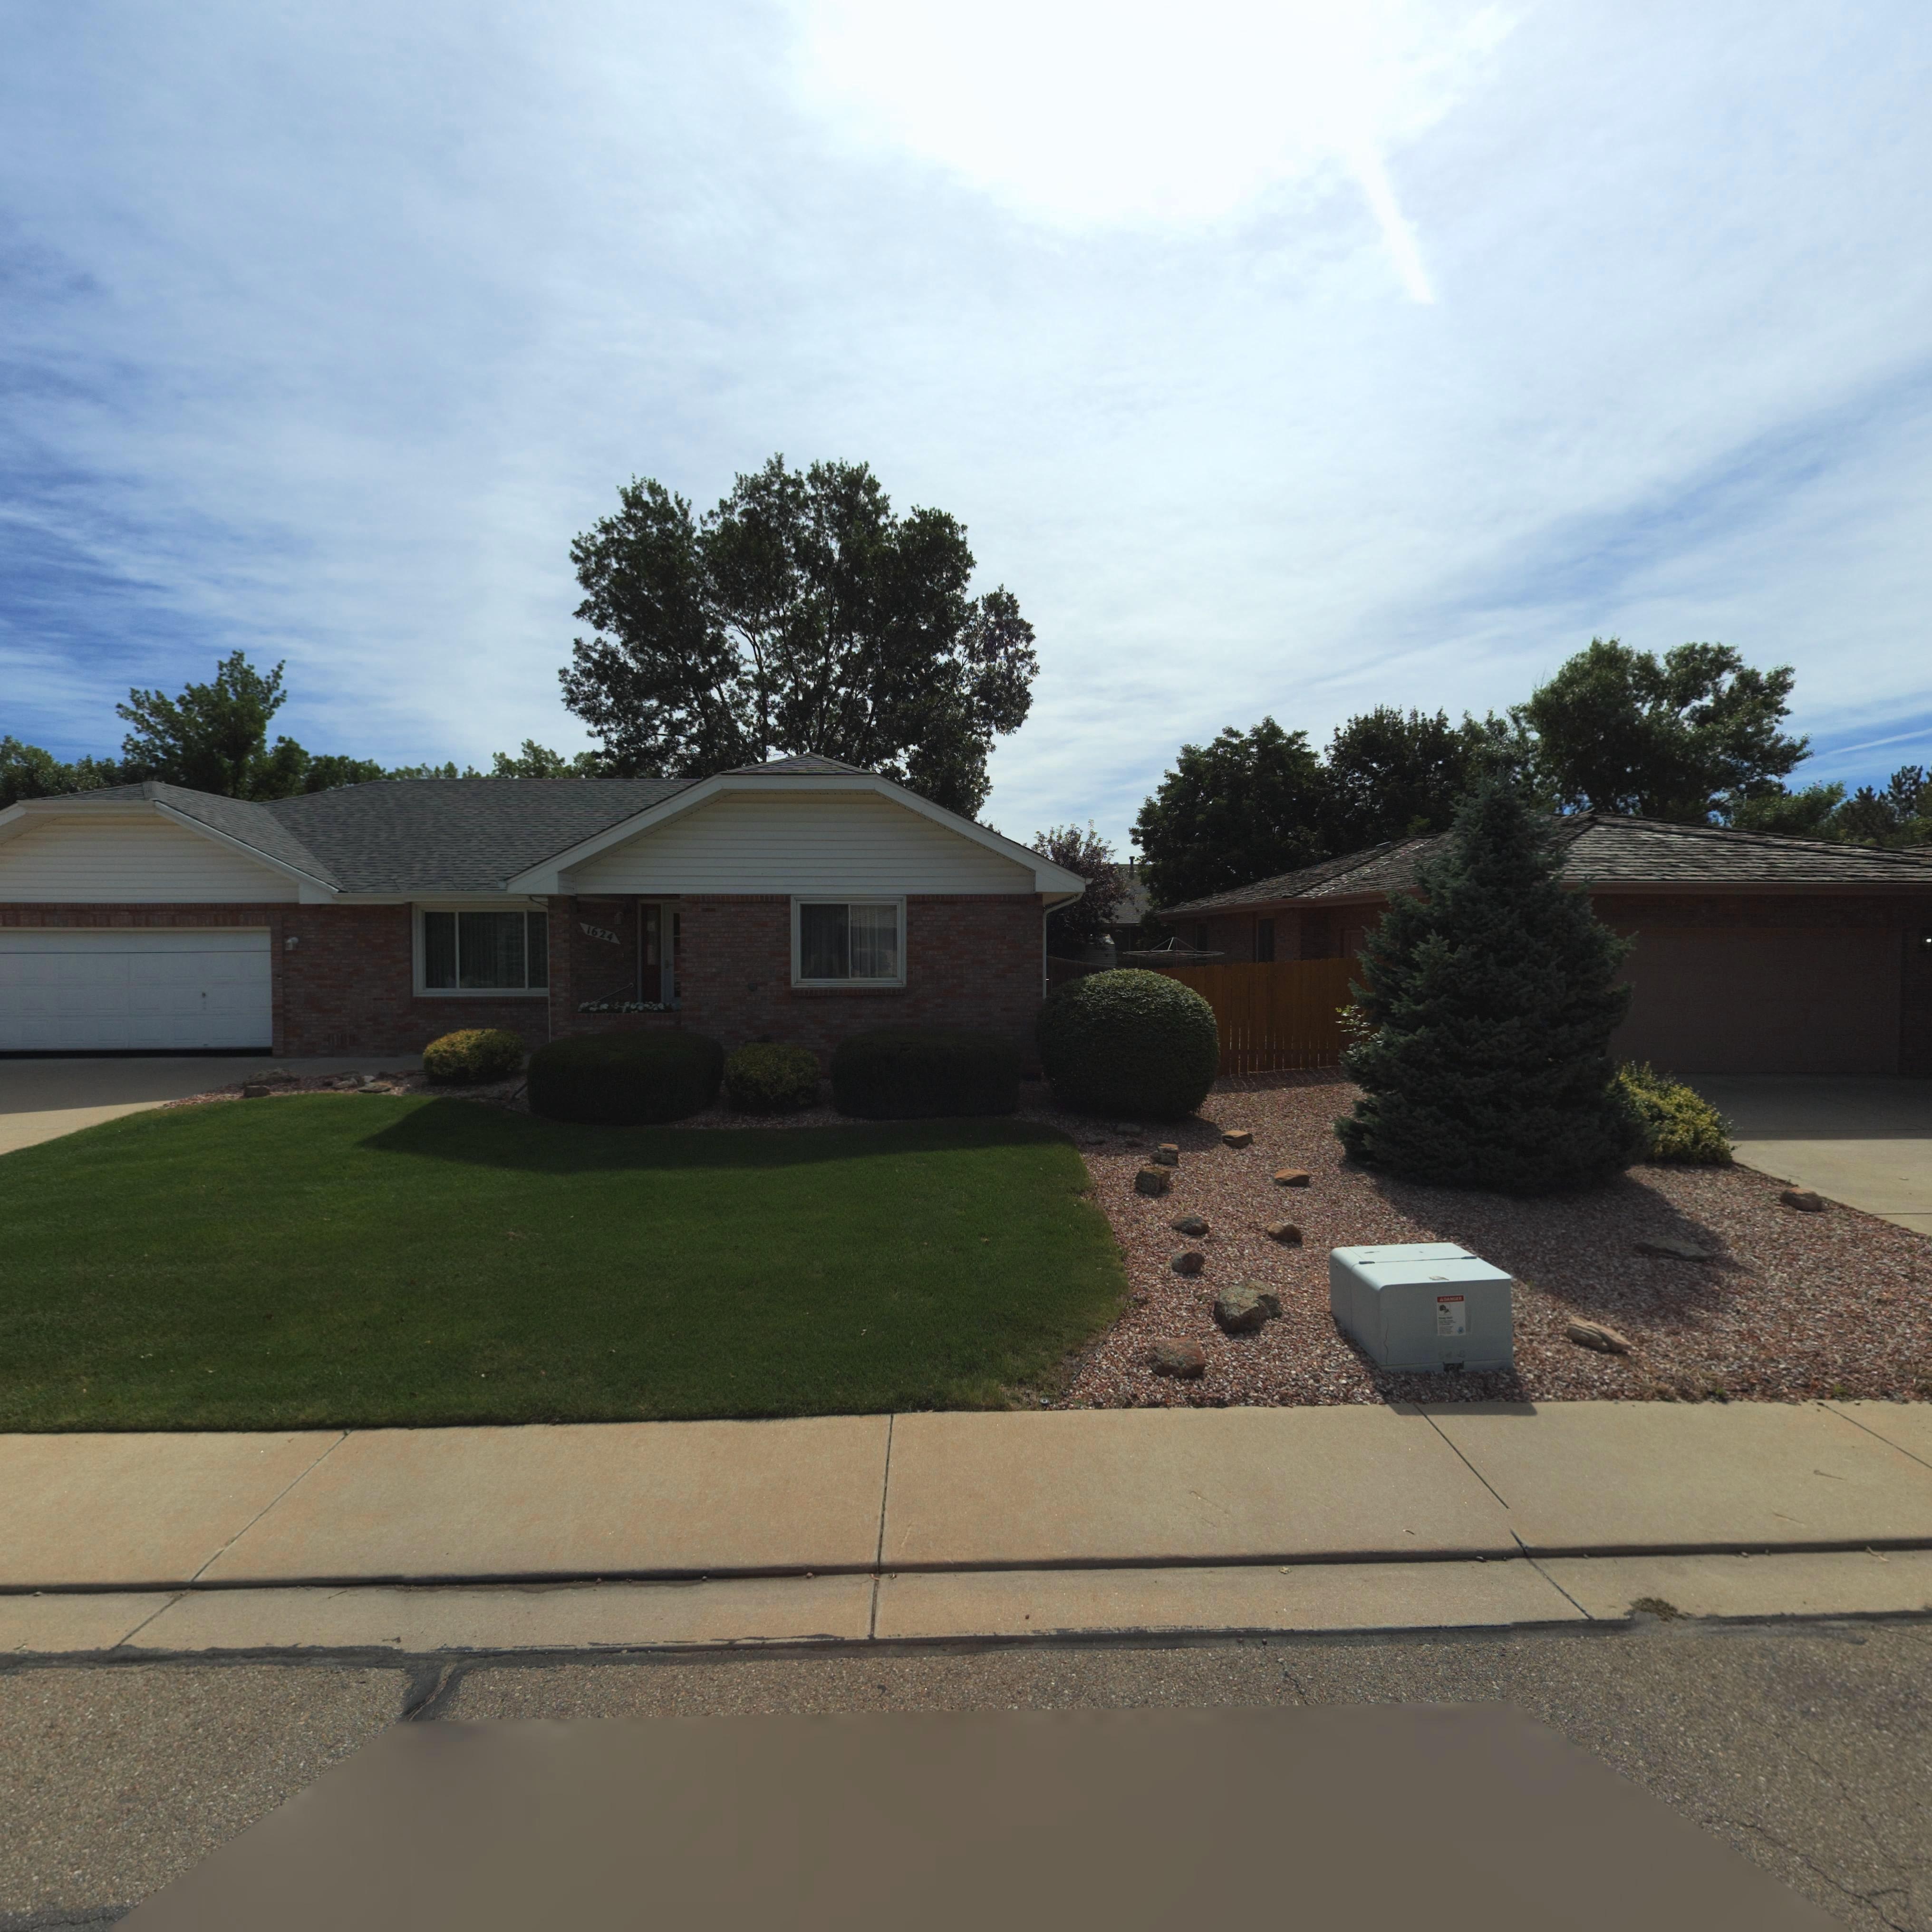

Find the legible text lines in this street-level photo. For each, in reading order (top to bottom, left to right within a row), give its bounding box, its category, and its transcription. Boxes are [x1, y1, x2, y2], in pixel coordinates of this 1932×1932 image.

[585, 924, 614, 942] StreetNumber: 1624